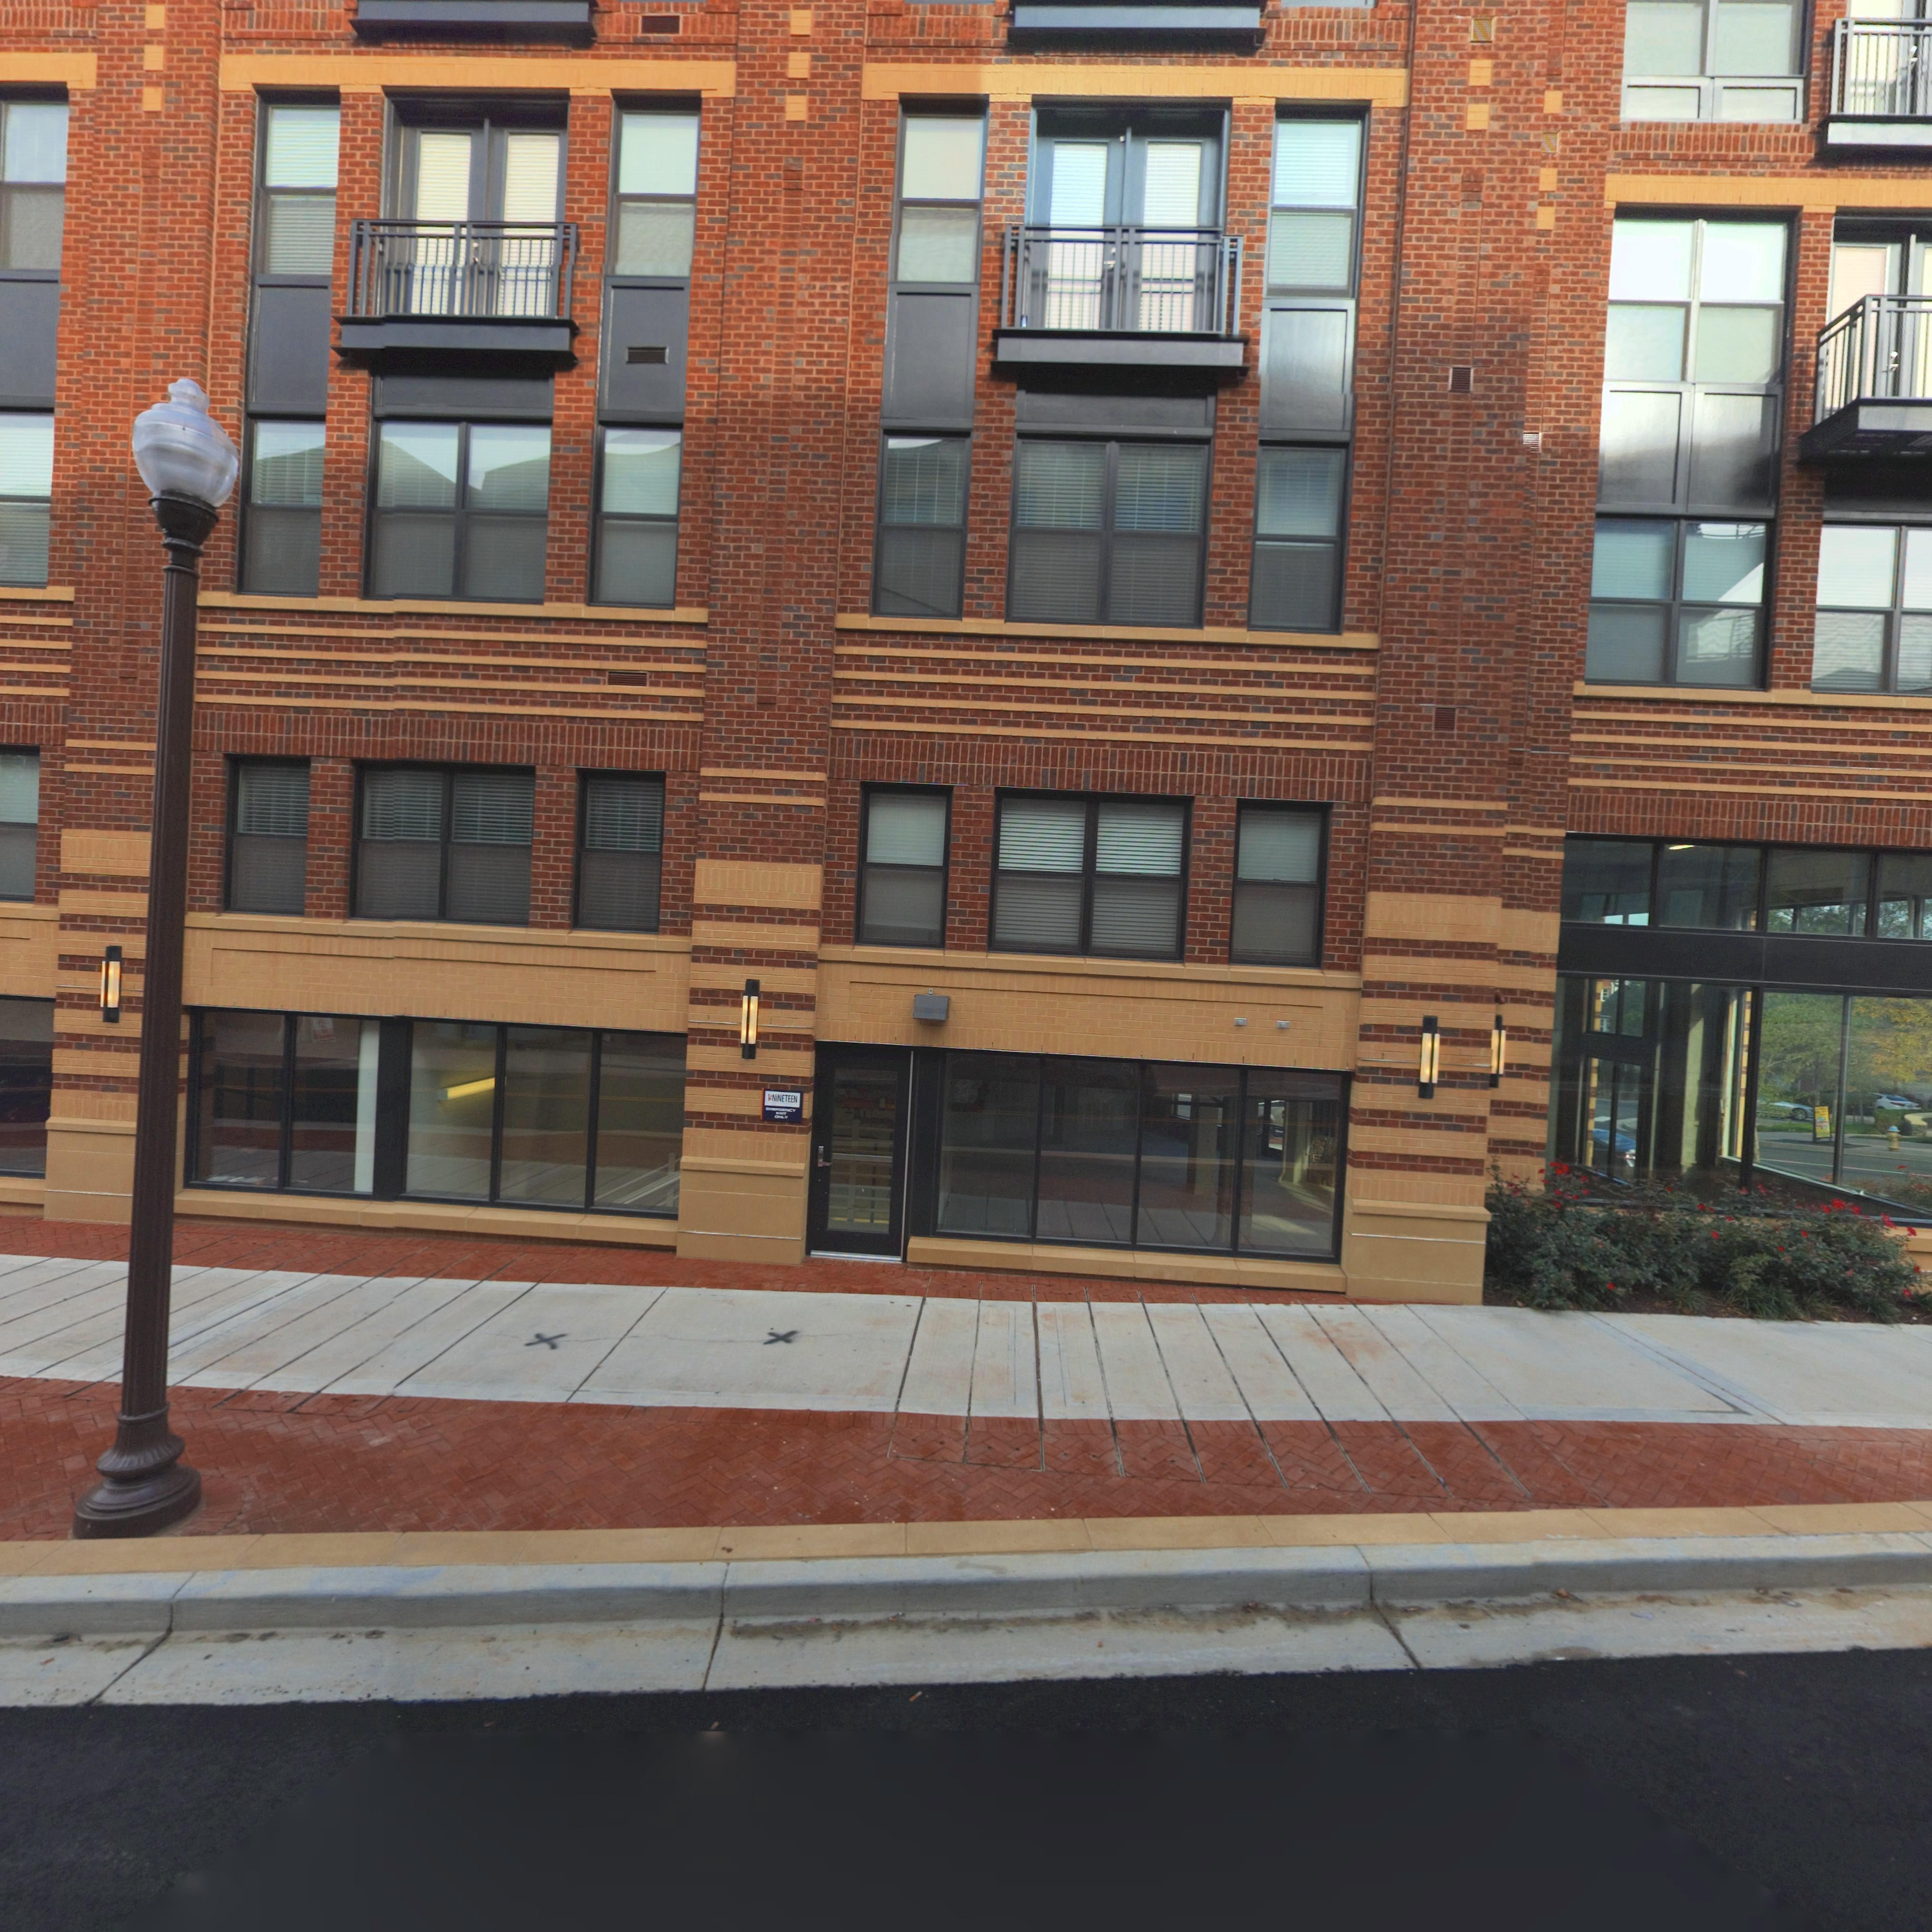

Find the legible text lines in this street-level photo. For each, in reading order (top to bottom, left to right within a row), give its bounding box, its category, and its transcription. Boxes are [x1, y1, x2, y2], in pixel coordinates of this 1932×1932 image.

[767, 1093, 798, 1103] None: 19NiNETEEN